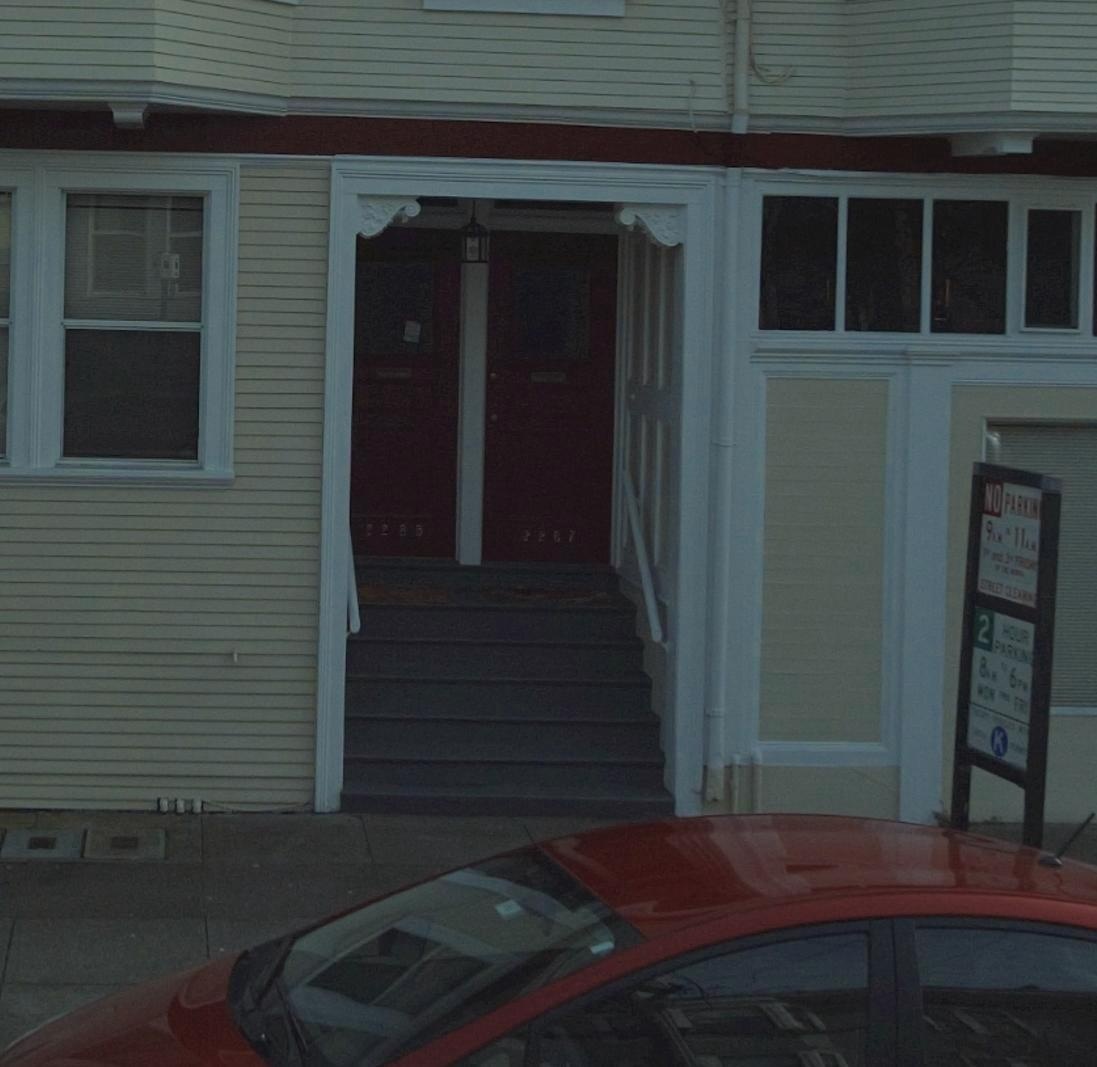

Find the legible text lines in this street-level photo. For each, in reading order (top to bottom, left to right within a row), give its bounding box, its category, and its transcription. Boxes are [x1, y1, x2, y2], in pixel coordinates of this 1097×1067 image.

[981, 478, 1042, 524] None: NO PARKIN
[363, 521, 425, 539] StreetNumber: 2285
[519, 526, 578, 545] StreetNumber: 22*7
[981, 517, 1042, 557] None: 9AM * 11AM
[973, 611, 993, 649] None: 2
[999, 618, 1032, 651] None: HOUR
[976, 652, 989, 680] None: 8
[1006, 664, 1019, 692] None: 6
[990, 727, 1007, 757] None: K